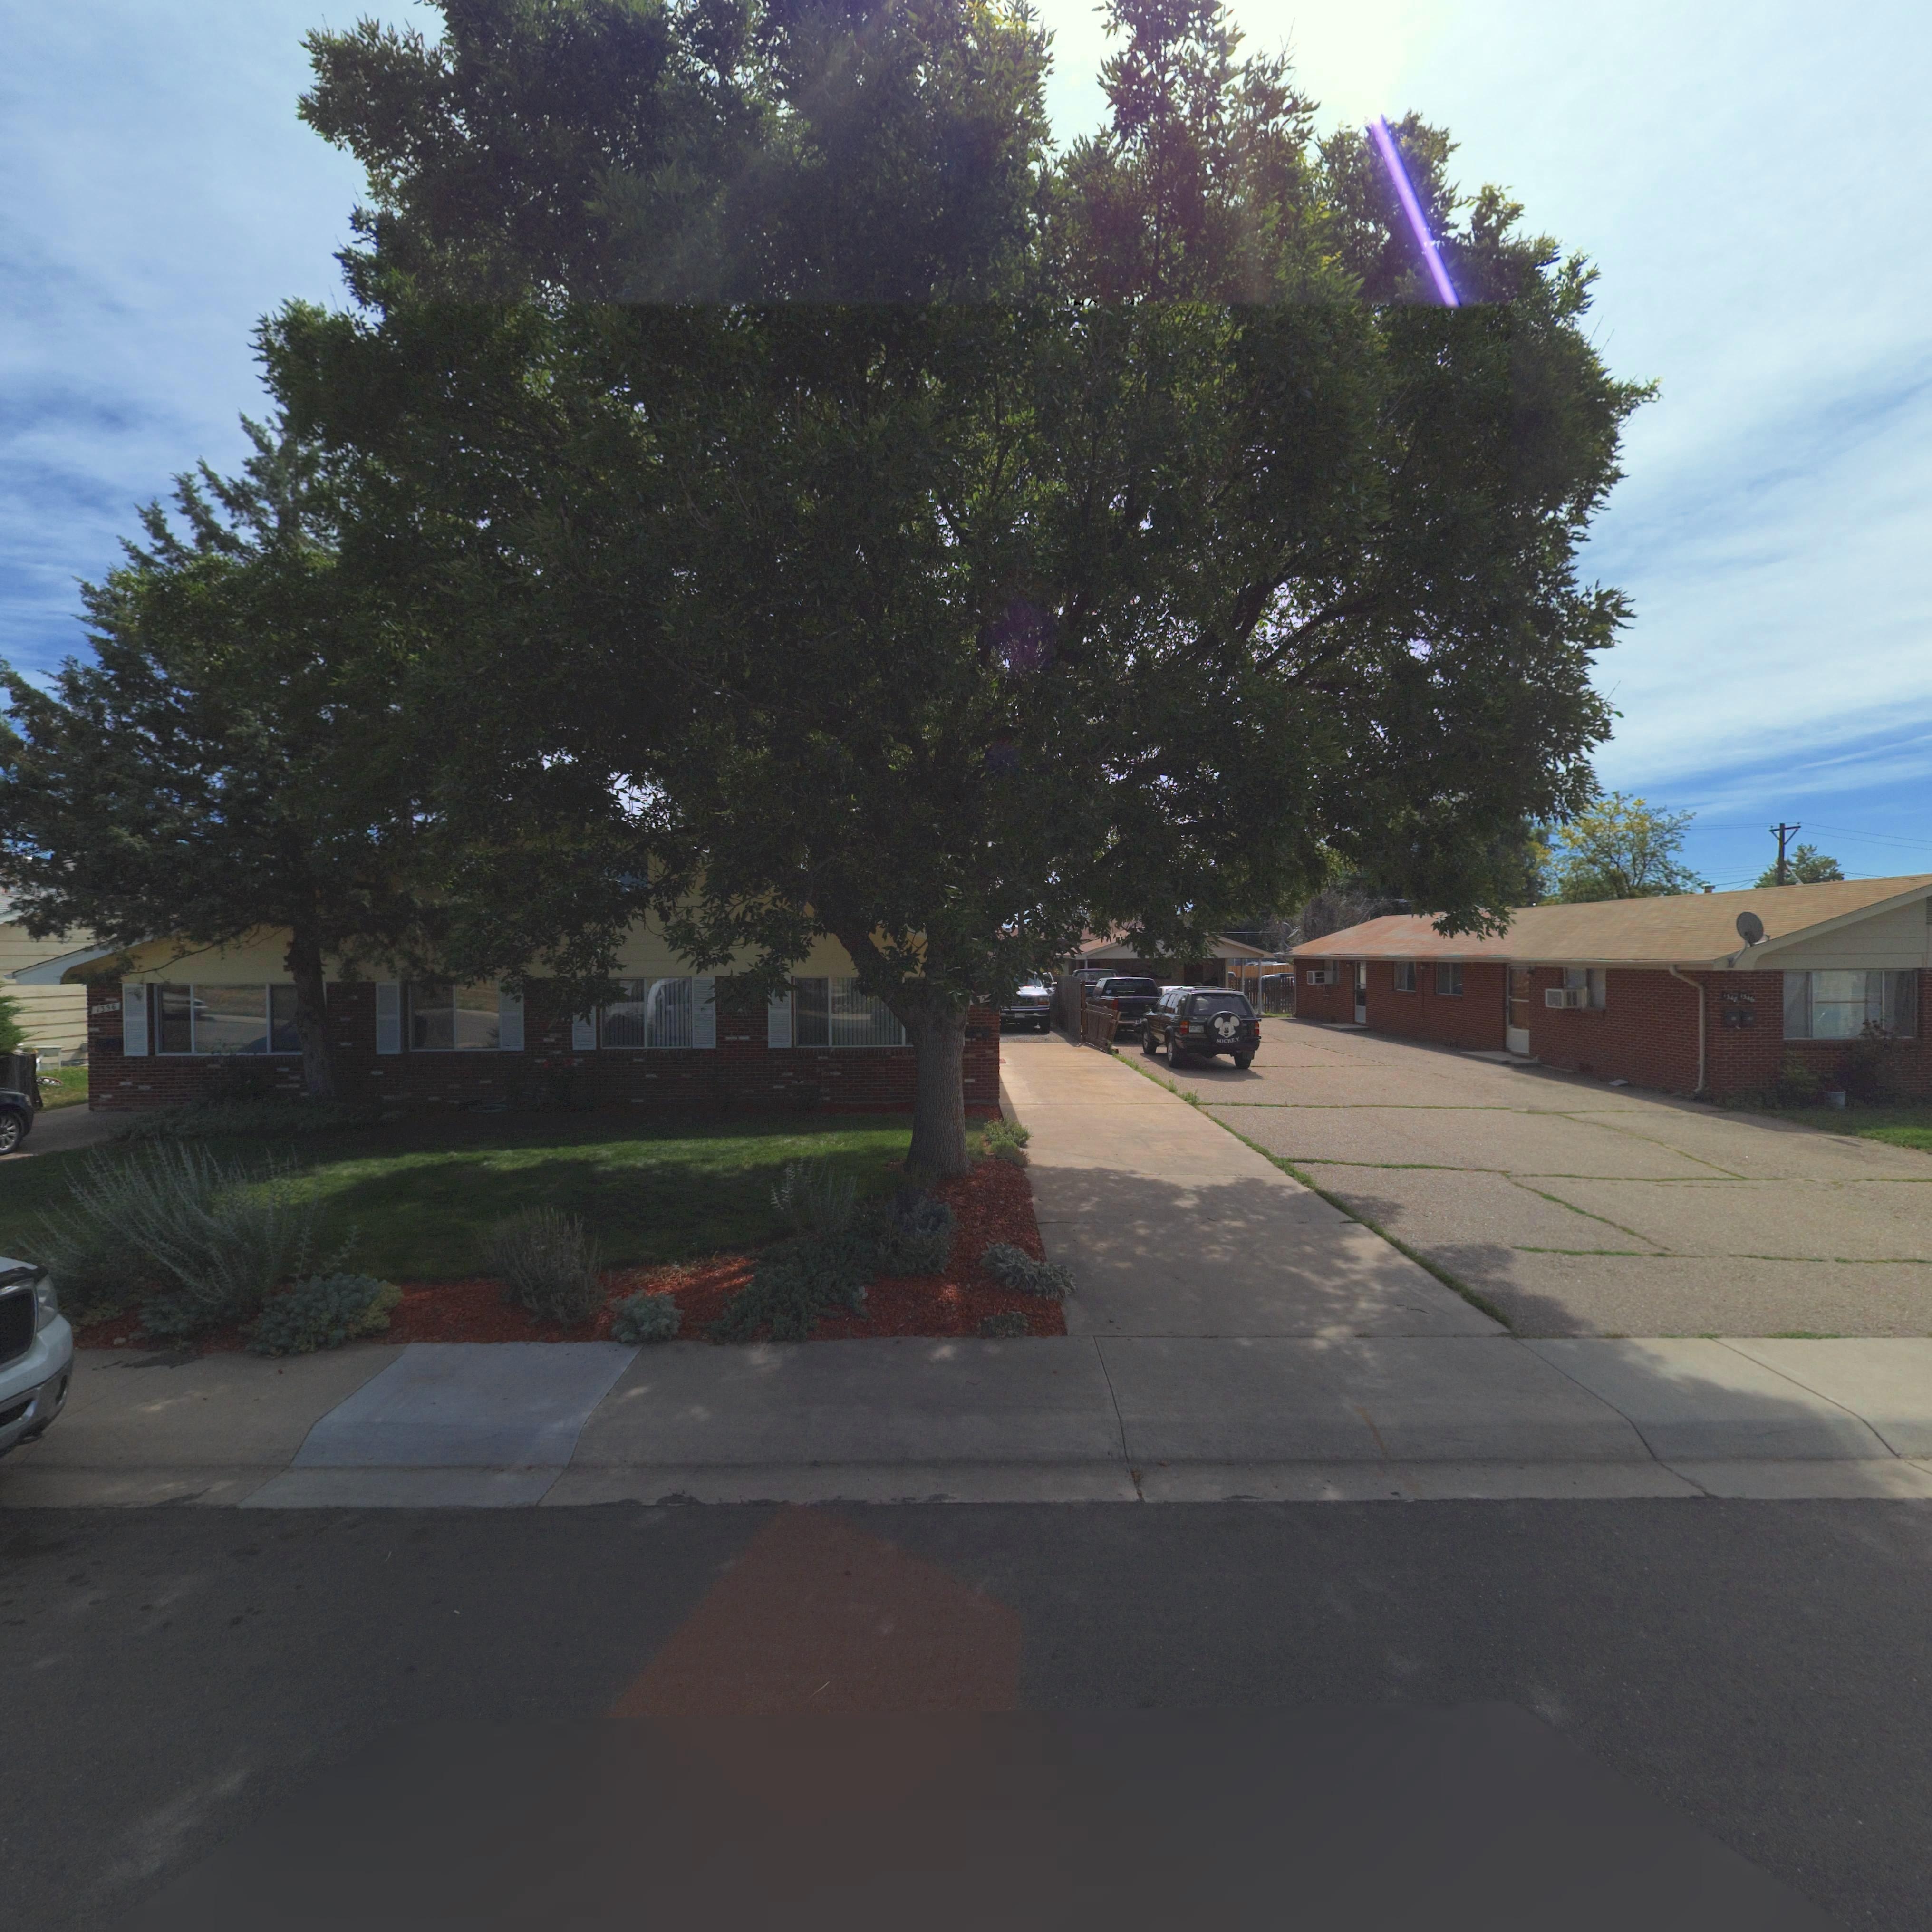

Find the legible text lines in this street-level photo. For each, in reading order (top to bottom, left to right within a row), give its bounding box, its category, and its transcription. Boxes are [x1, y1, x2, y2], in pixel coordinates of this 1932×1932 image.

[1722, 992, 1738, 1003] StreetNumber: 13**
[1740, 993, 1755, 1003] StreetNumber: 13**
[96, 1003, 116, 1013] StreetNumber: 13*6